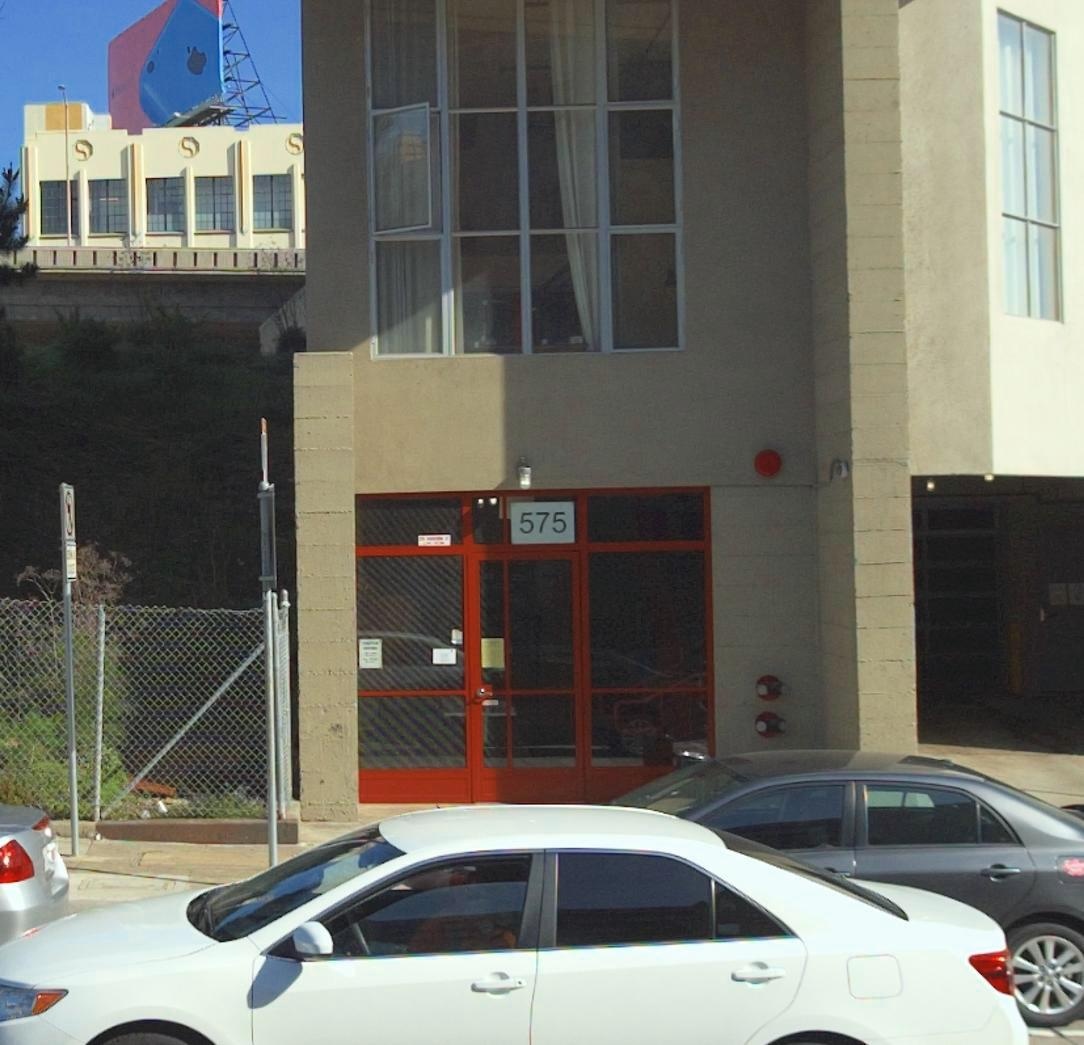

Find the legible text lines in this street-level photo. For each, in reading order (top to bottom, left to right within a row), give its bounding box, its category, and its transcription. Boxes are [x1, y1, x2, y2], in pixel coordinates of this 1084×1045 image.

[517, 511, 569, 536] StreetNumber: 575